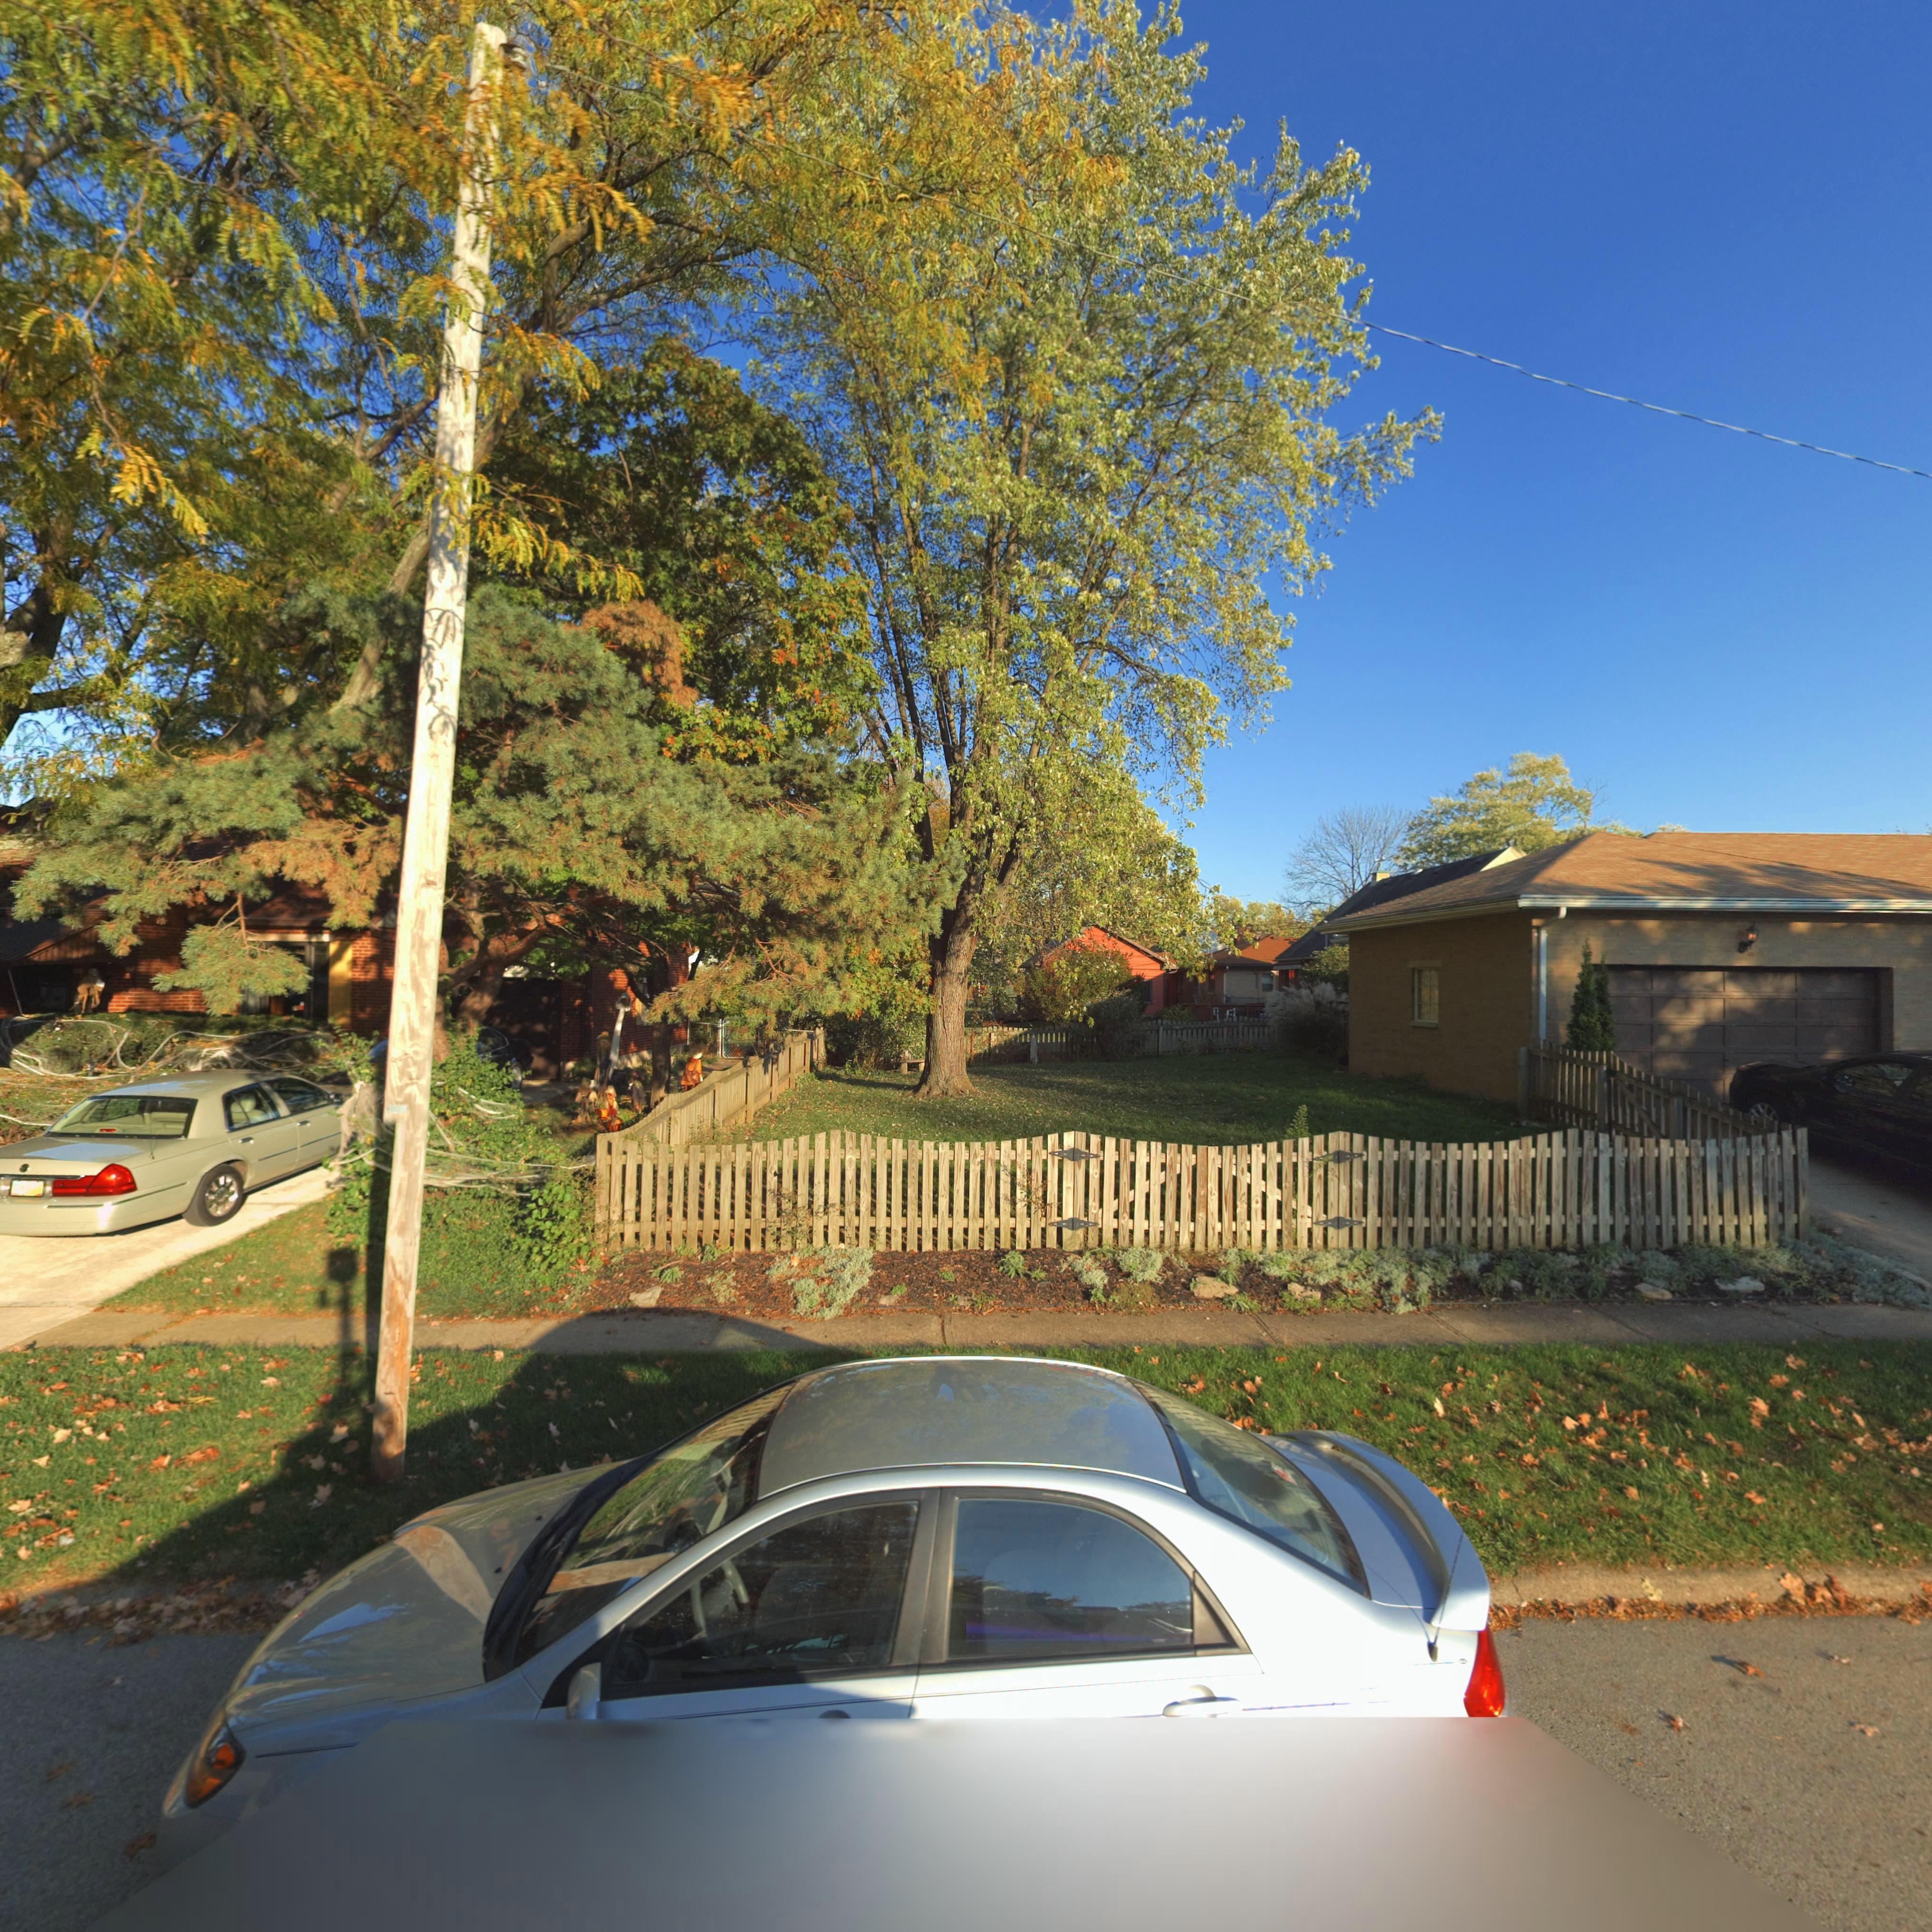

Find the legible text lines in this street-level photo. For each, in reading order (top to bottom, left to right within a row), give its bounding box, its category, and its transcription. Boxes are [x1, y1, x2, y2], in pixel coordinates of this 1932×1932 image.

[567, 1010, 580, 1015] StreetNumber: 3*1*